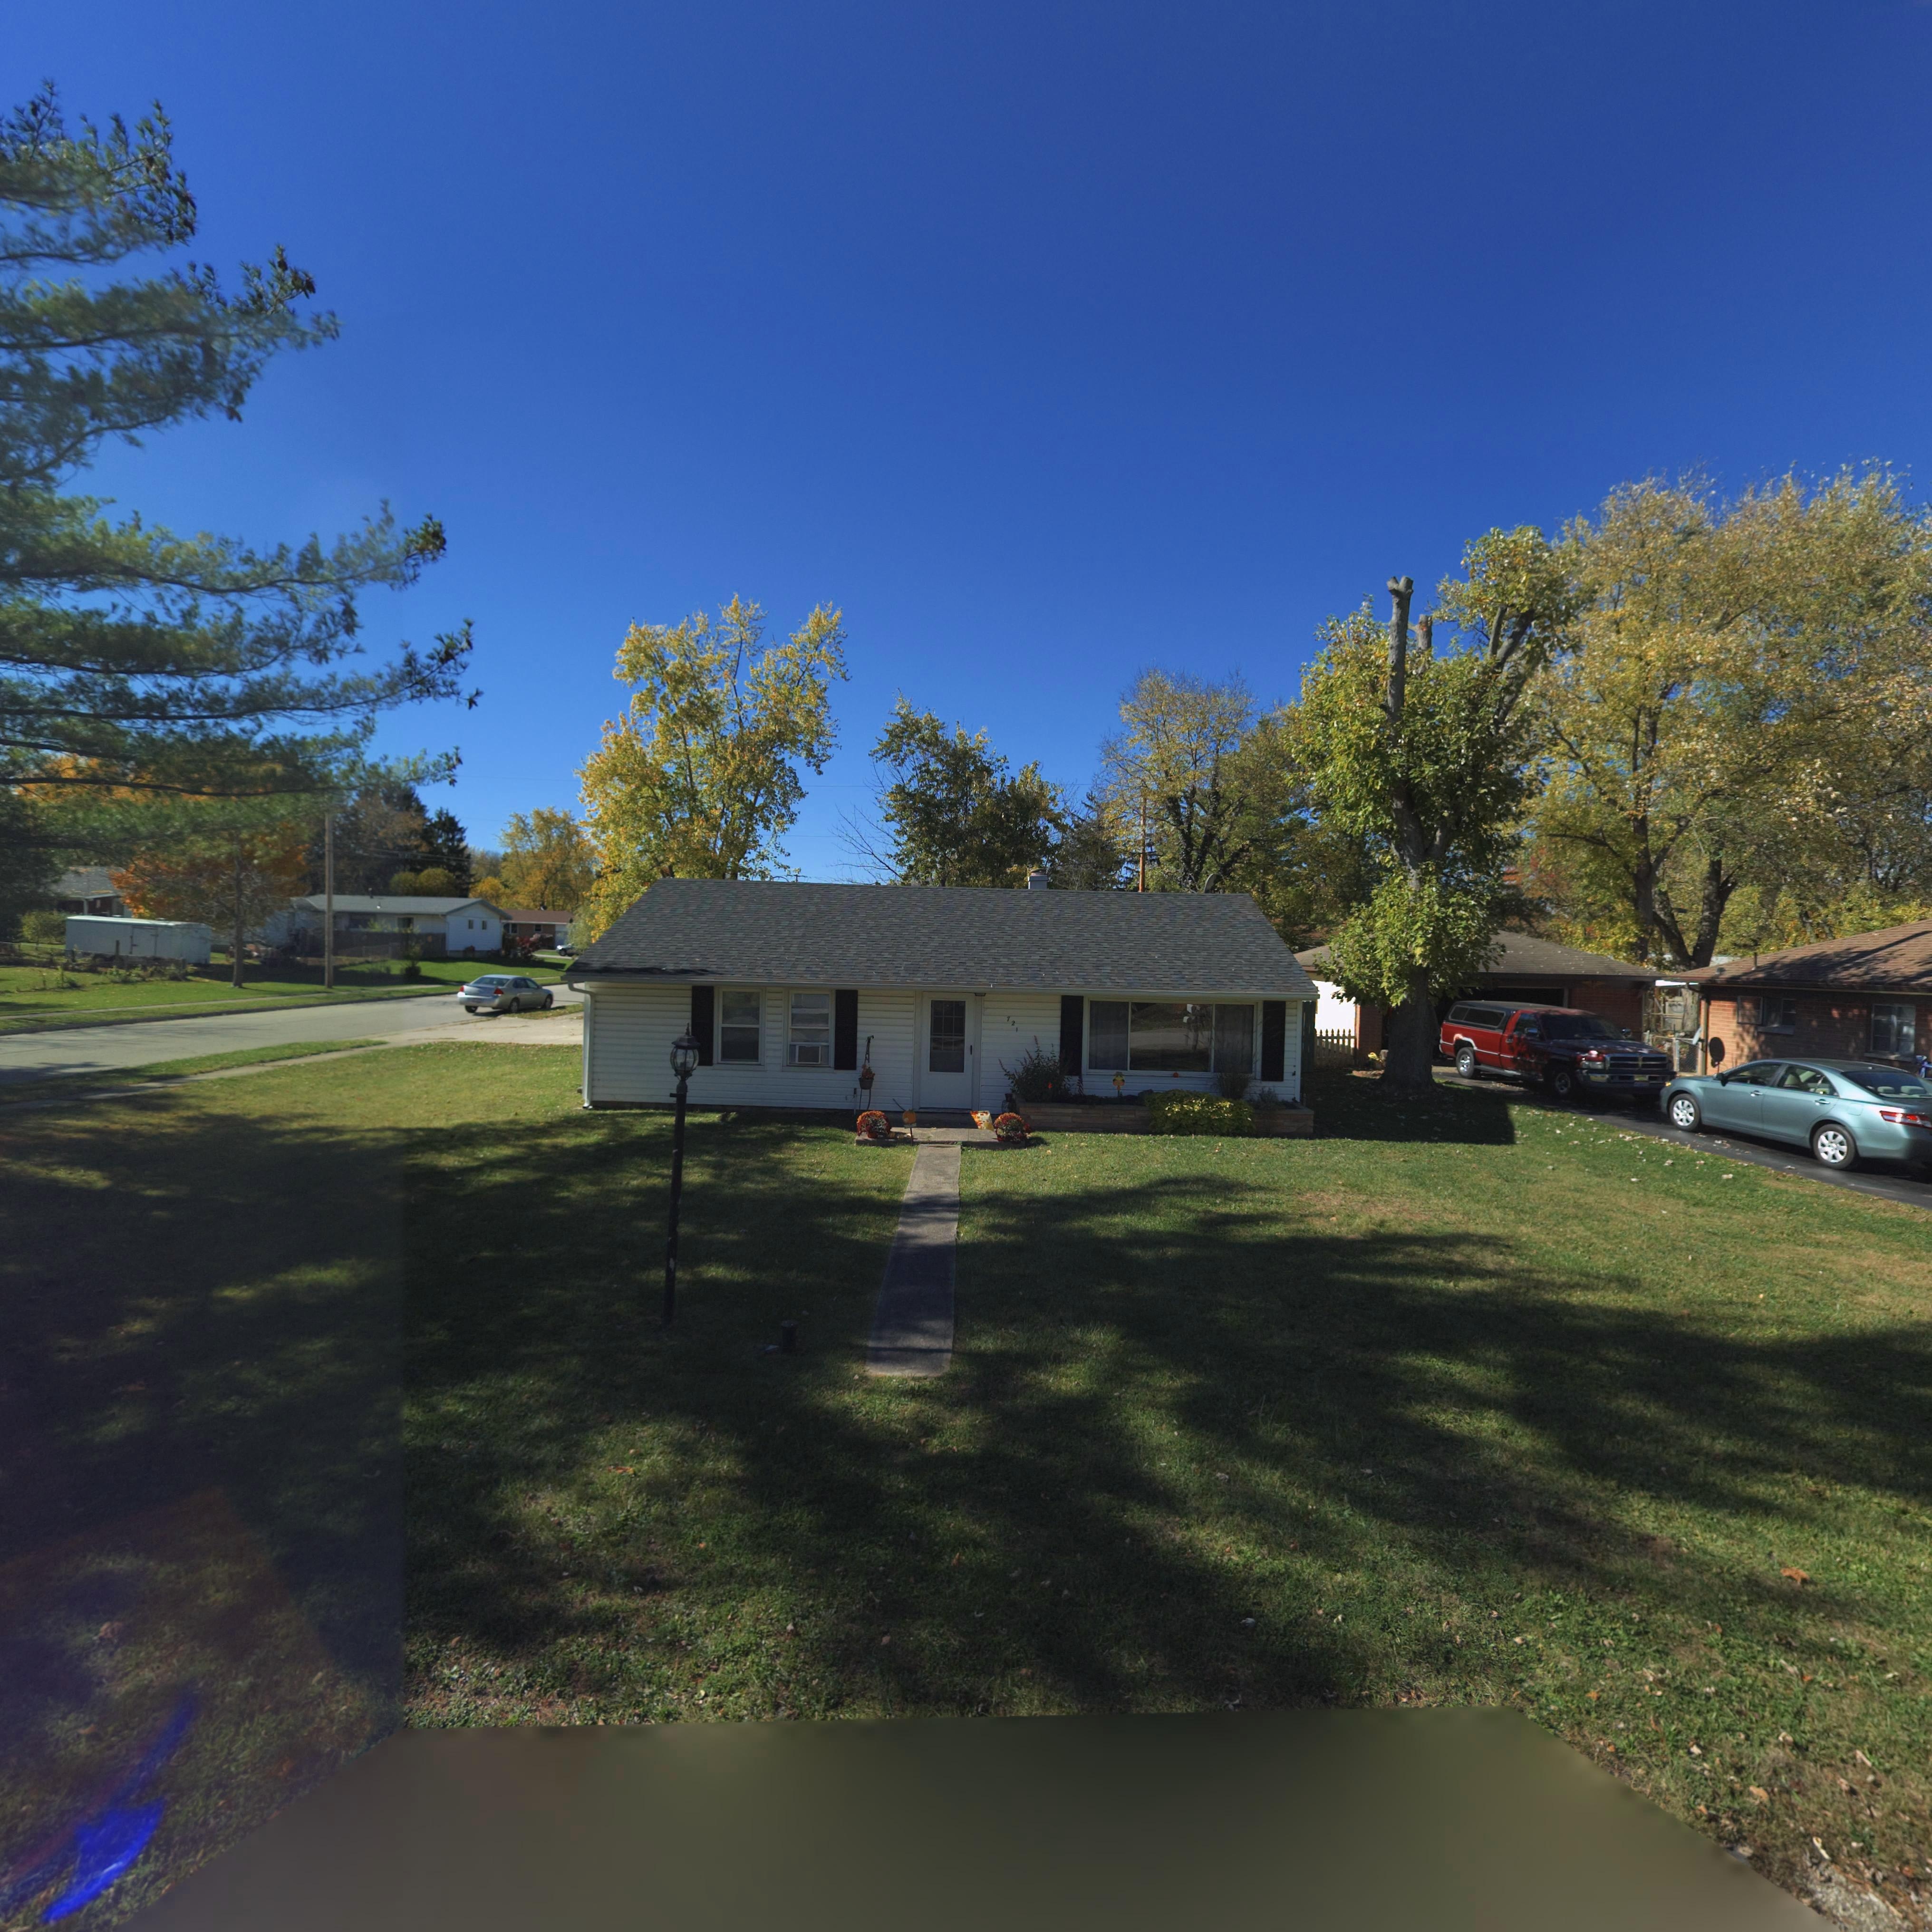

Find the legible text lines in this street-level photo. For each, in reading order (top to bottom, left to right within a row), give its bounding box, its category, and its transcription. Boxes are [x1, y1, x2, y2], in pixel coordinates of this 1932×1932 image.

[1006, 1015, 1019, 1033] StreetNumber: 721